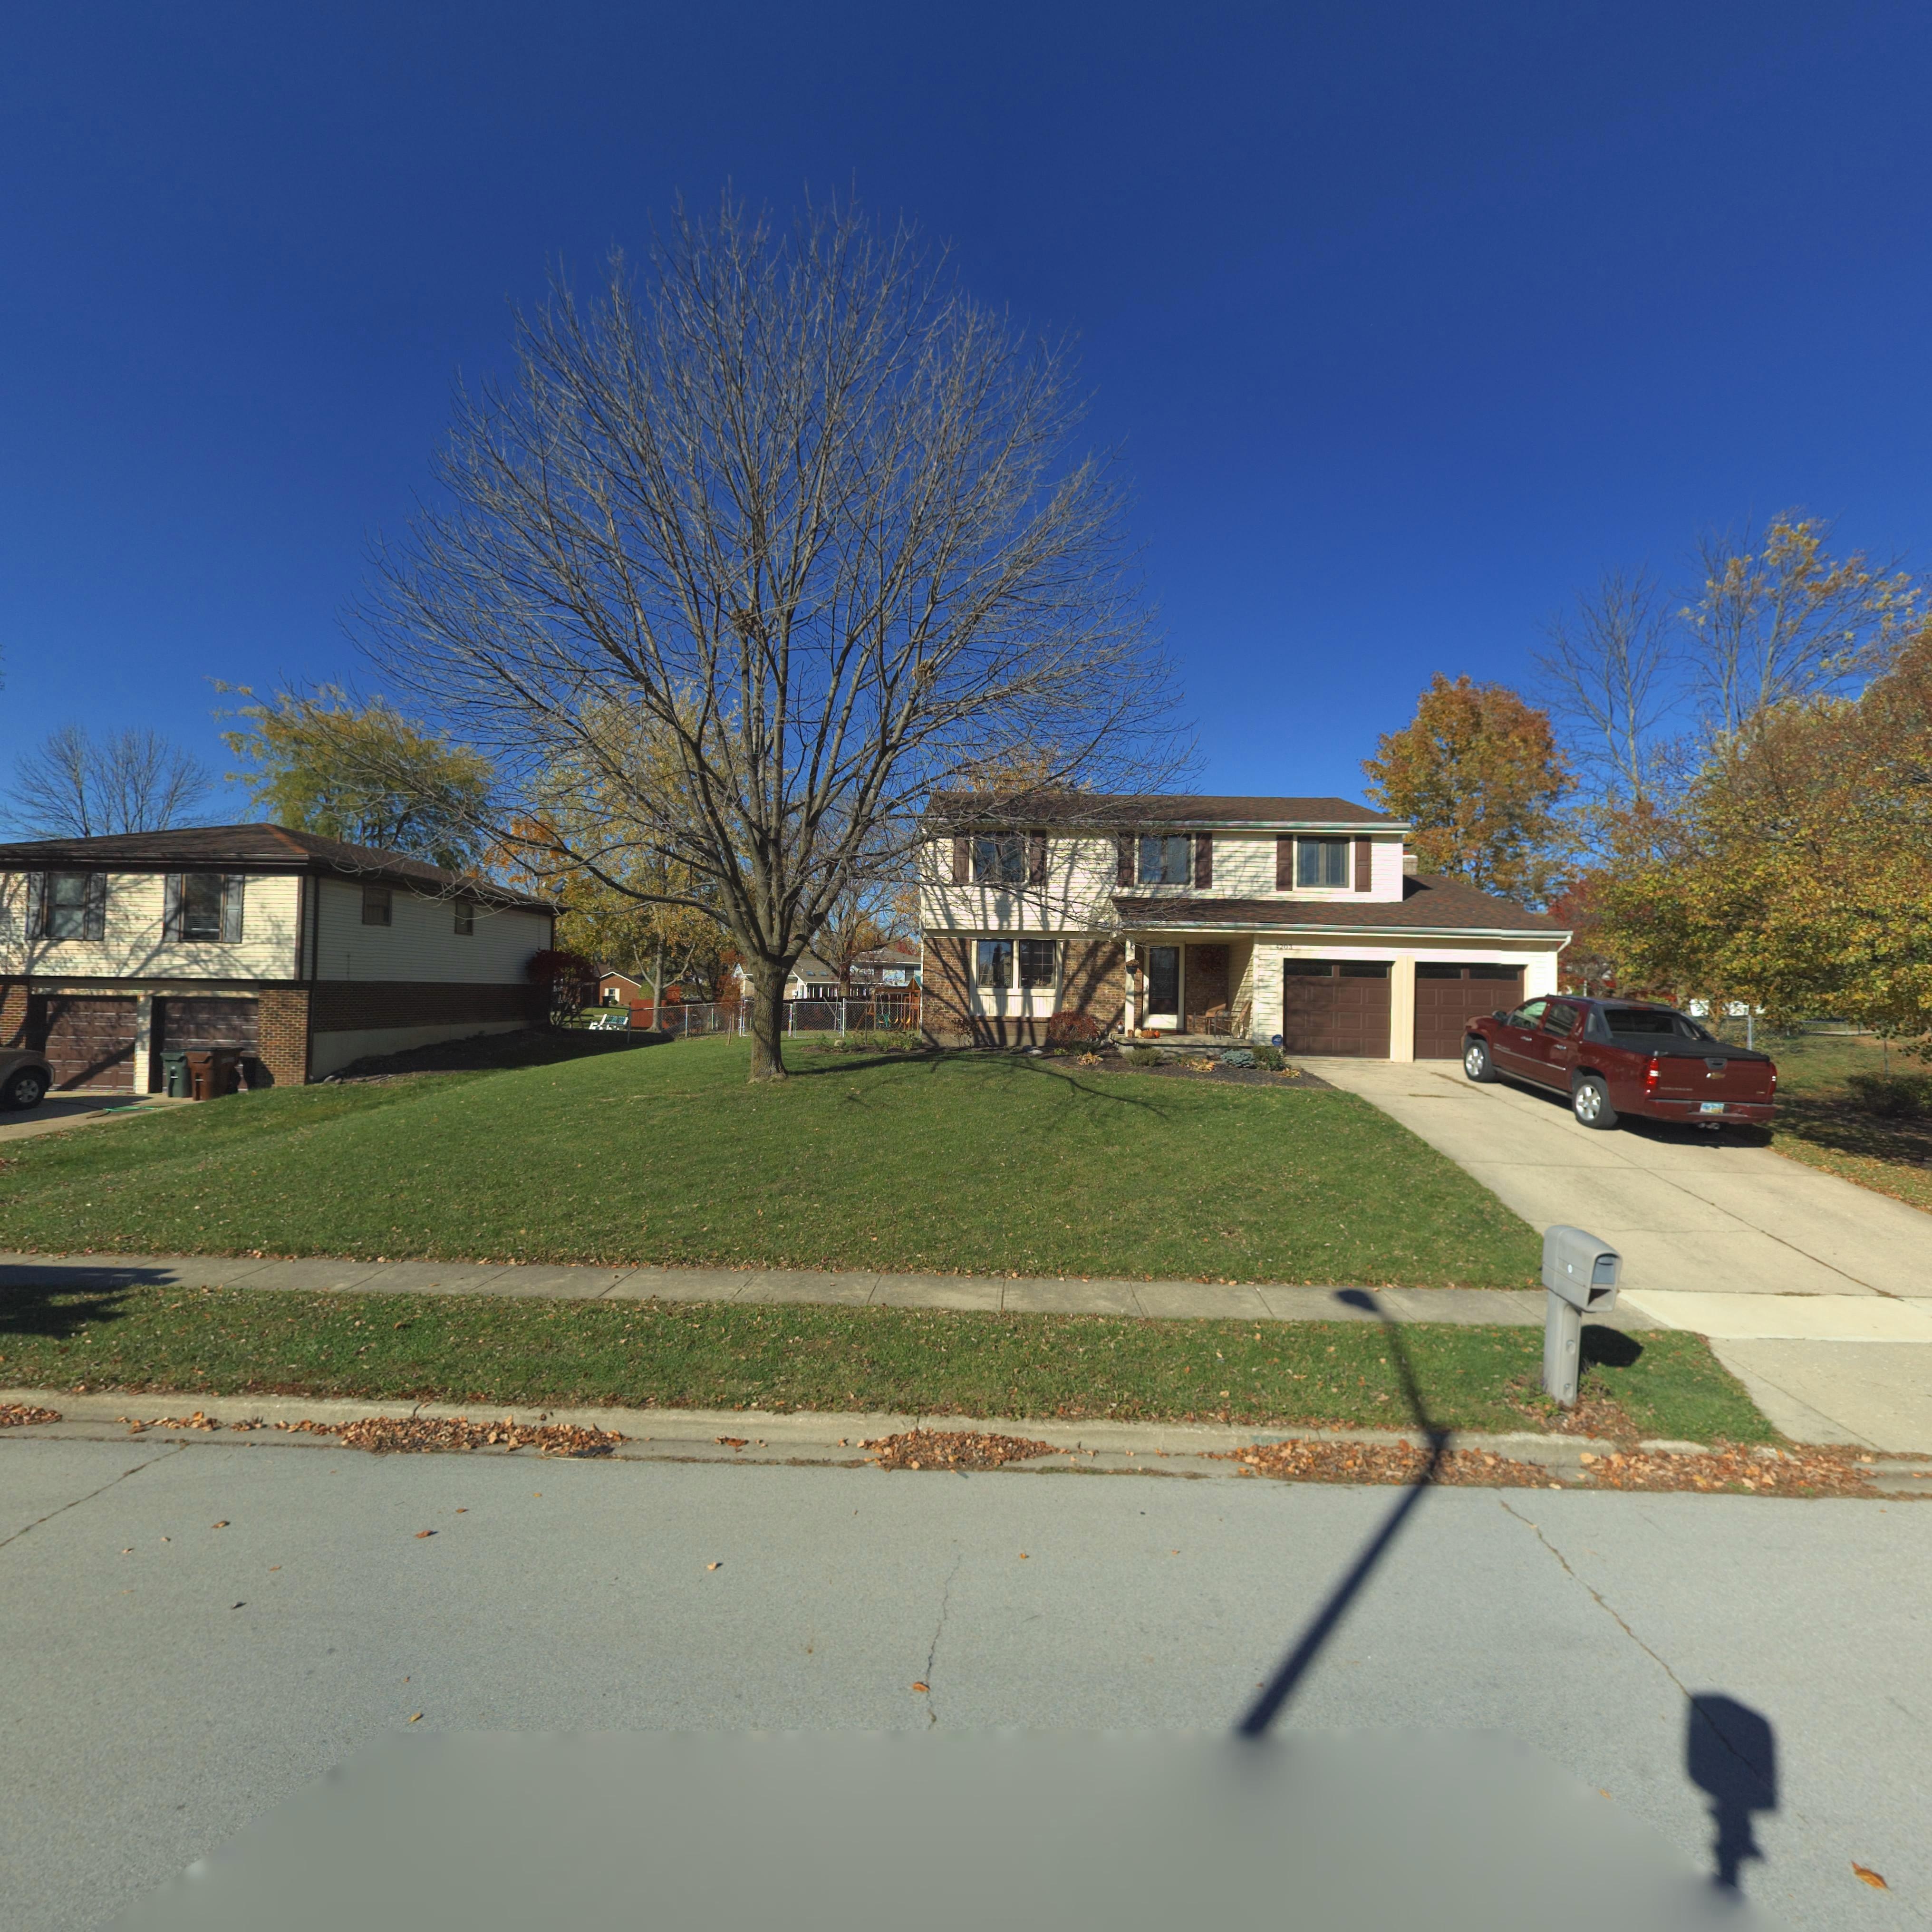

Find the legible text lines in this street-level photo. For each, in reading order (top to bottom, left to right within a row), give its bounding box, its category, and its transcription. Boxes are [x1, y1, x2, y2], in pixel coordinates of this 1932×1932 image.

[1274, 943, 1294, 951] StreetNumber: 4203